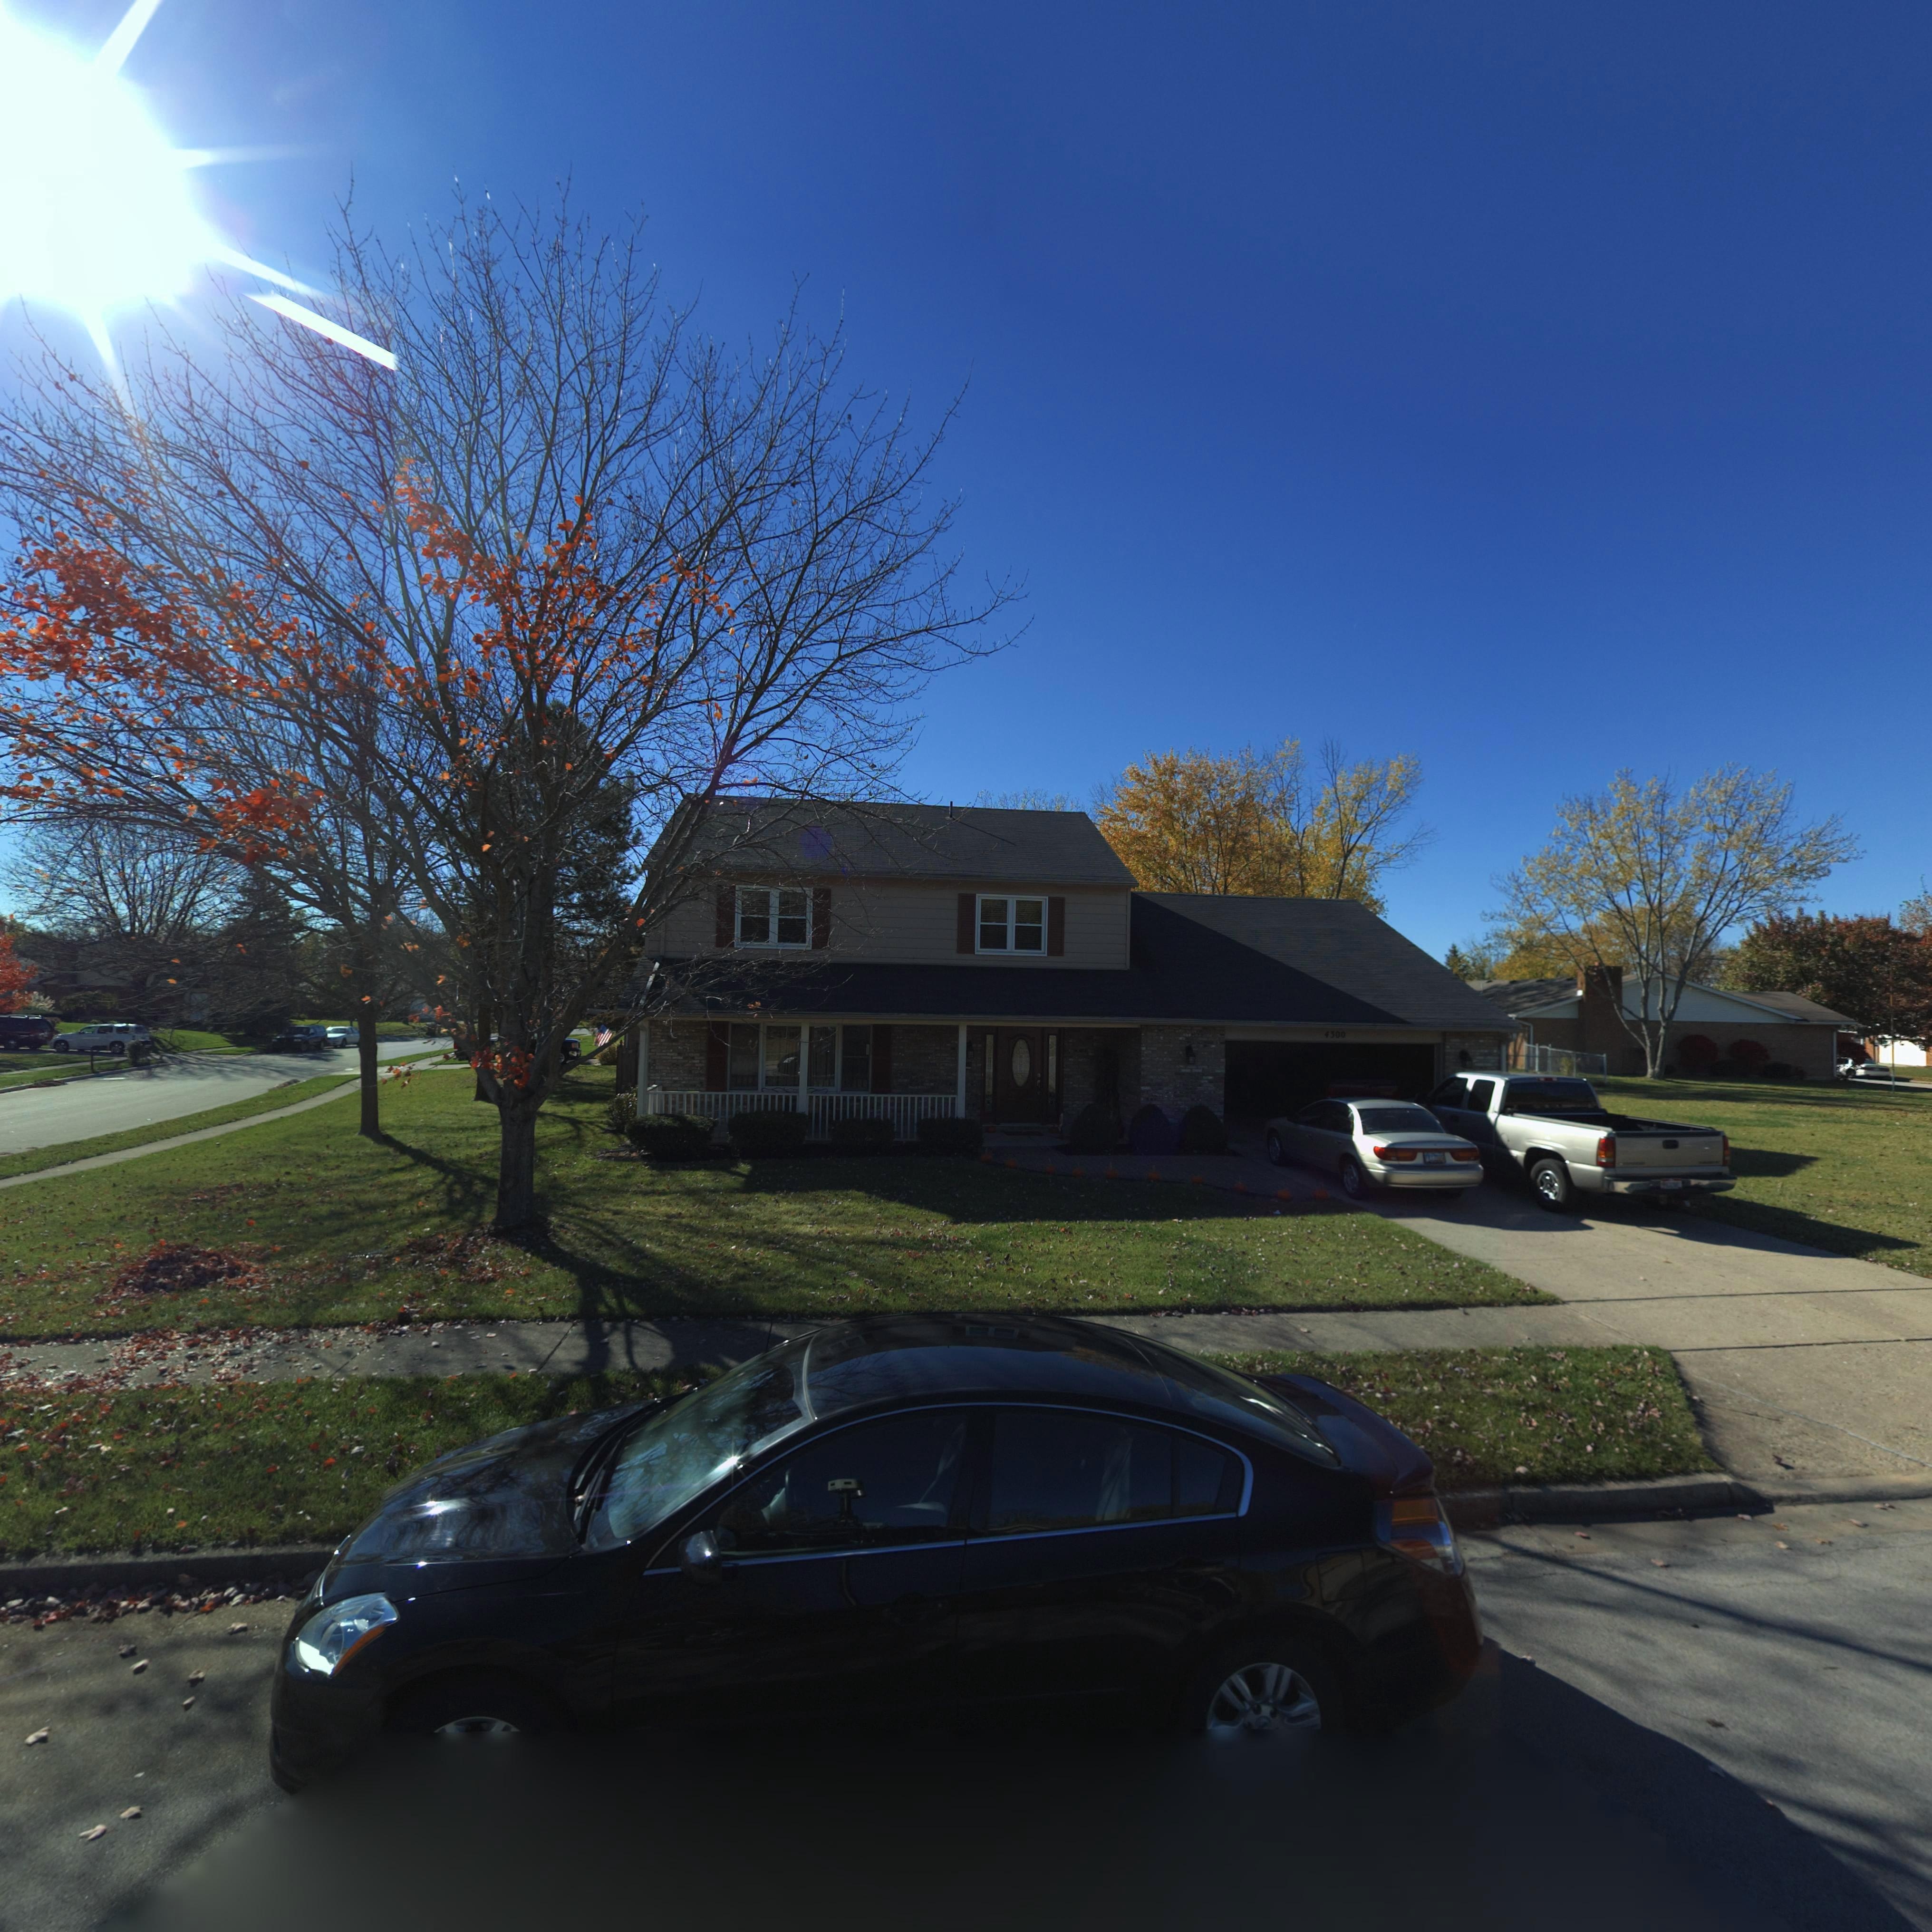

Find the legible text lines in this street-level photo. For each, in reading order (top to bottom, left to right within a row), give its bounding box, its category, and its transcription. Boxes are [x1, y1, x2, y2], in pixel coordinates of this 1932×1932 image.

[1323, 1030, 1346, 1039] StreetNumber: 4300